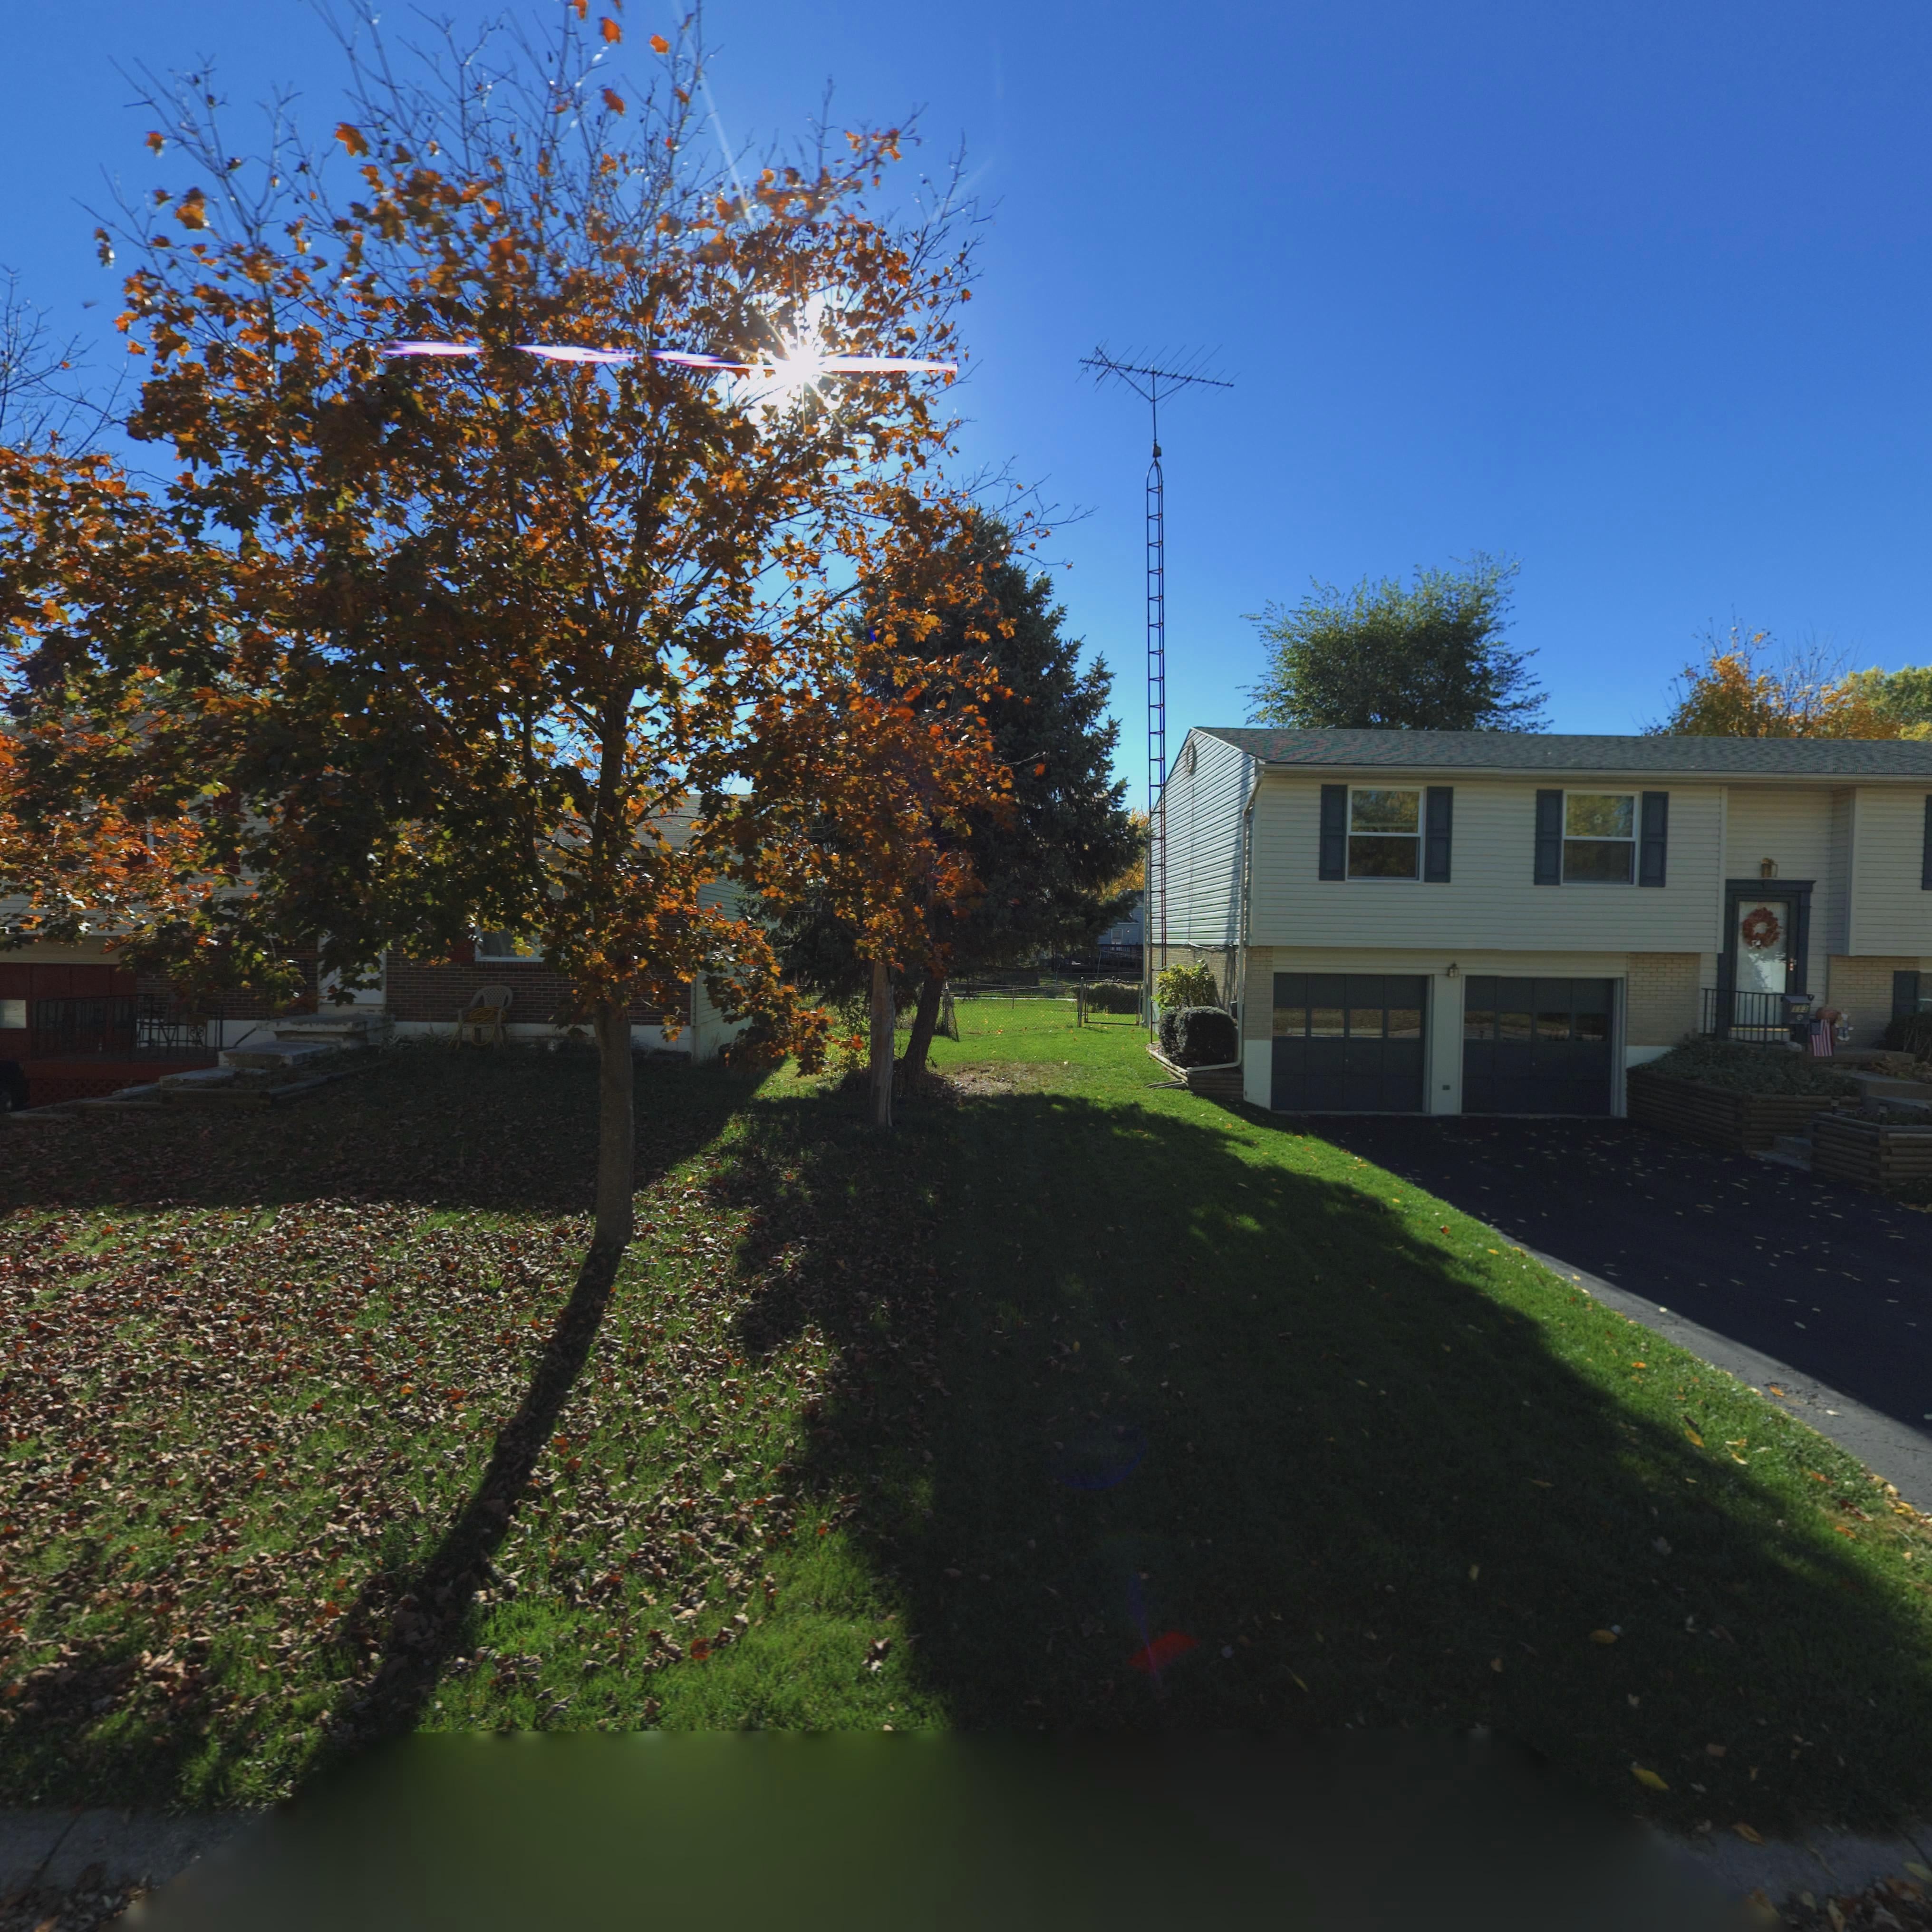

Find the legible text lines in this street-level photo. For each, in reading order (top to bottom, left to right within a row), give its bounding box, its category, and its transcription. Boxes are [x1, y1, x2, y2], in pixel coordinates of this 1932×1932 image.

[1792, 1005, 1809, 1013] StreetNumber: 113